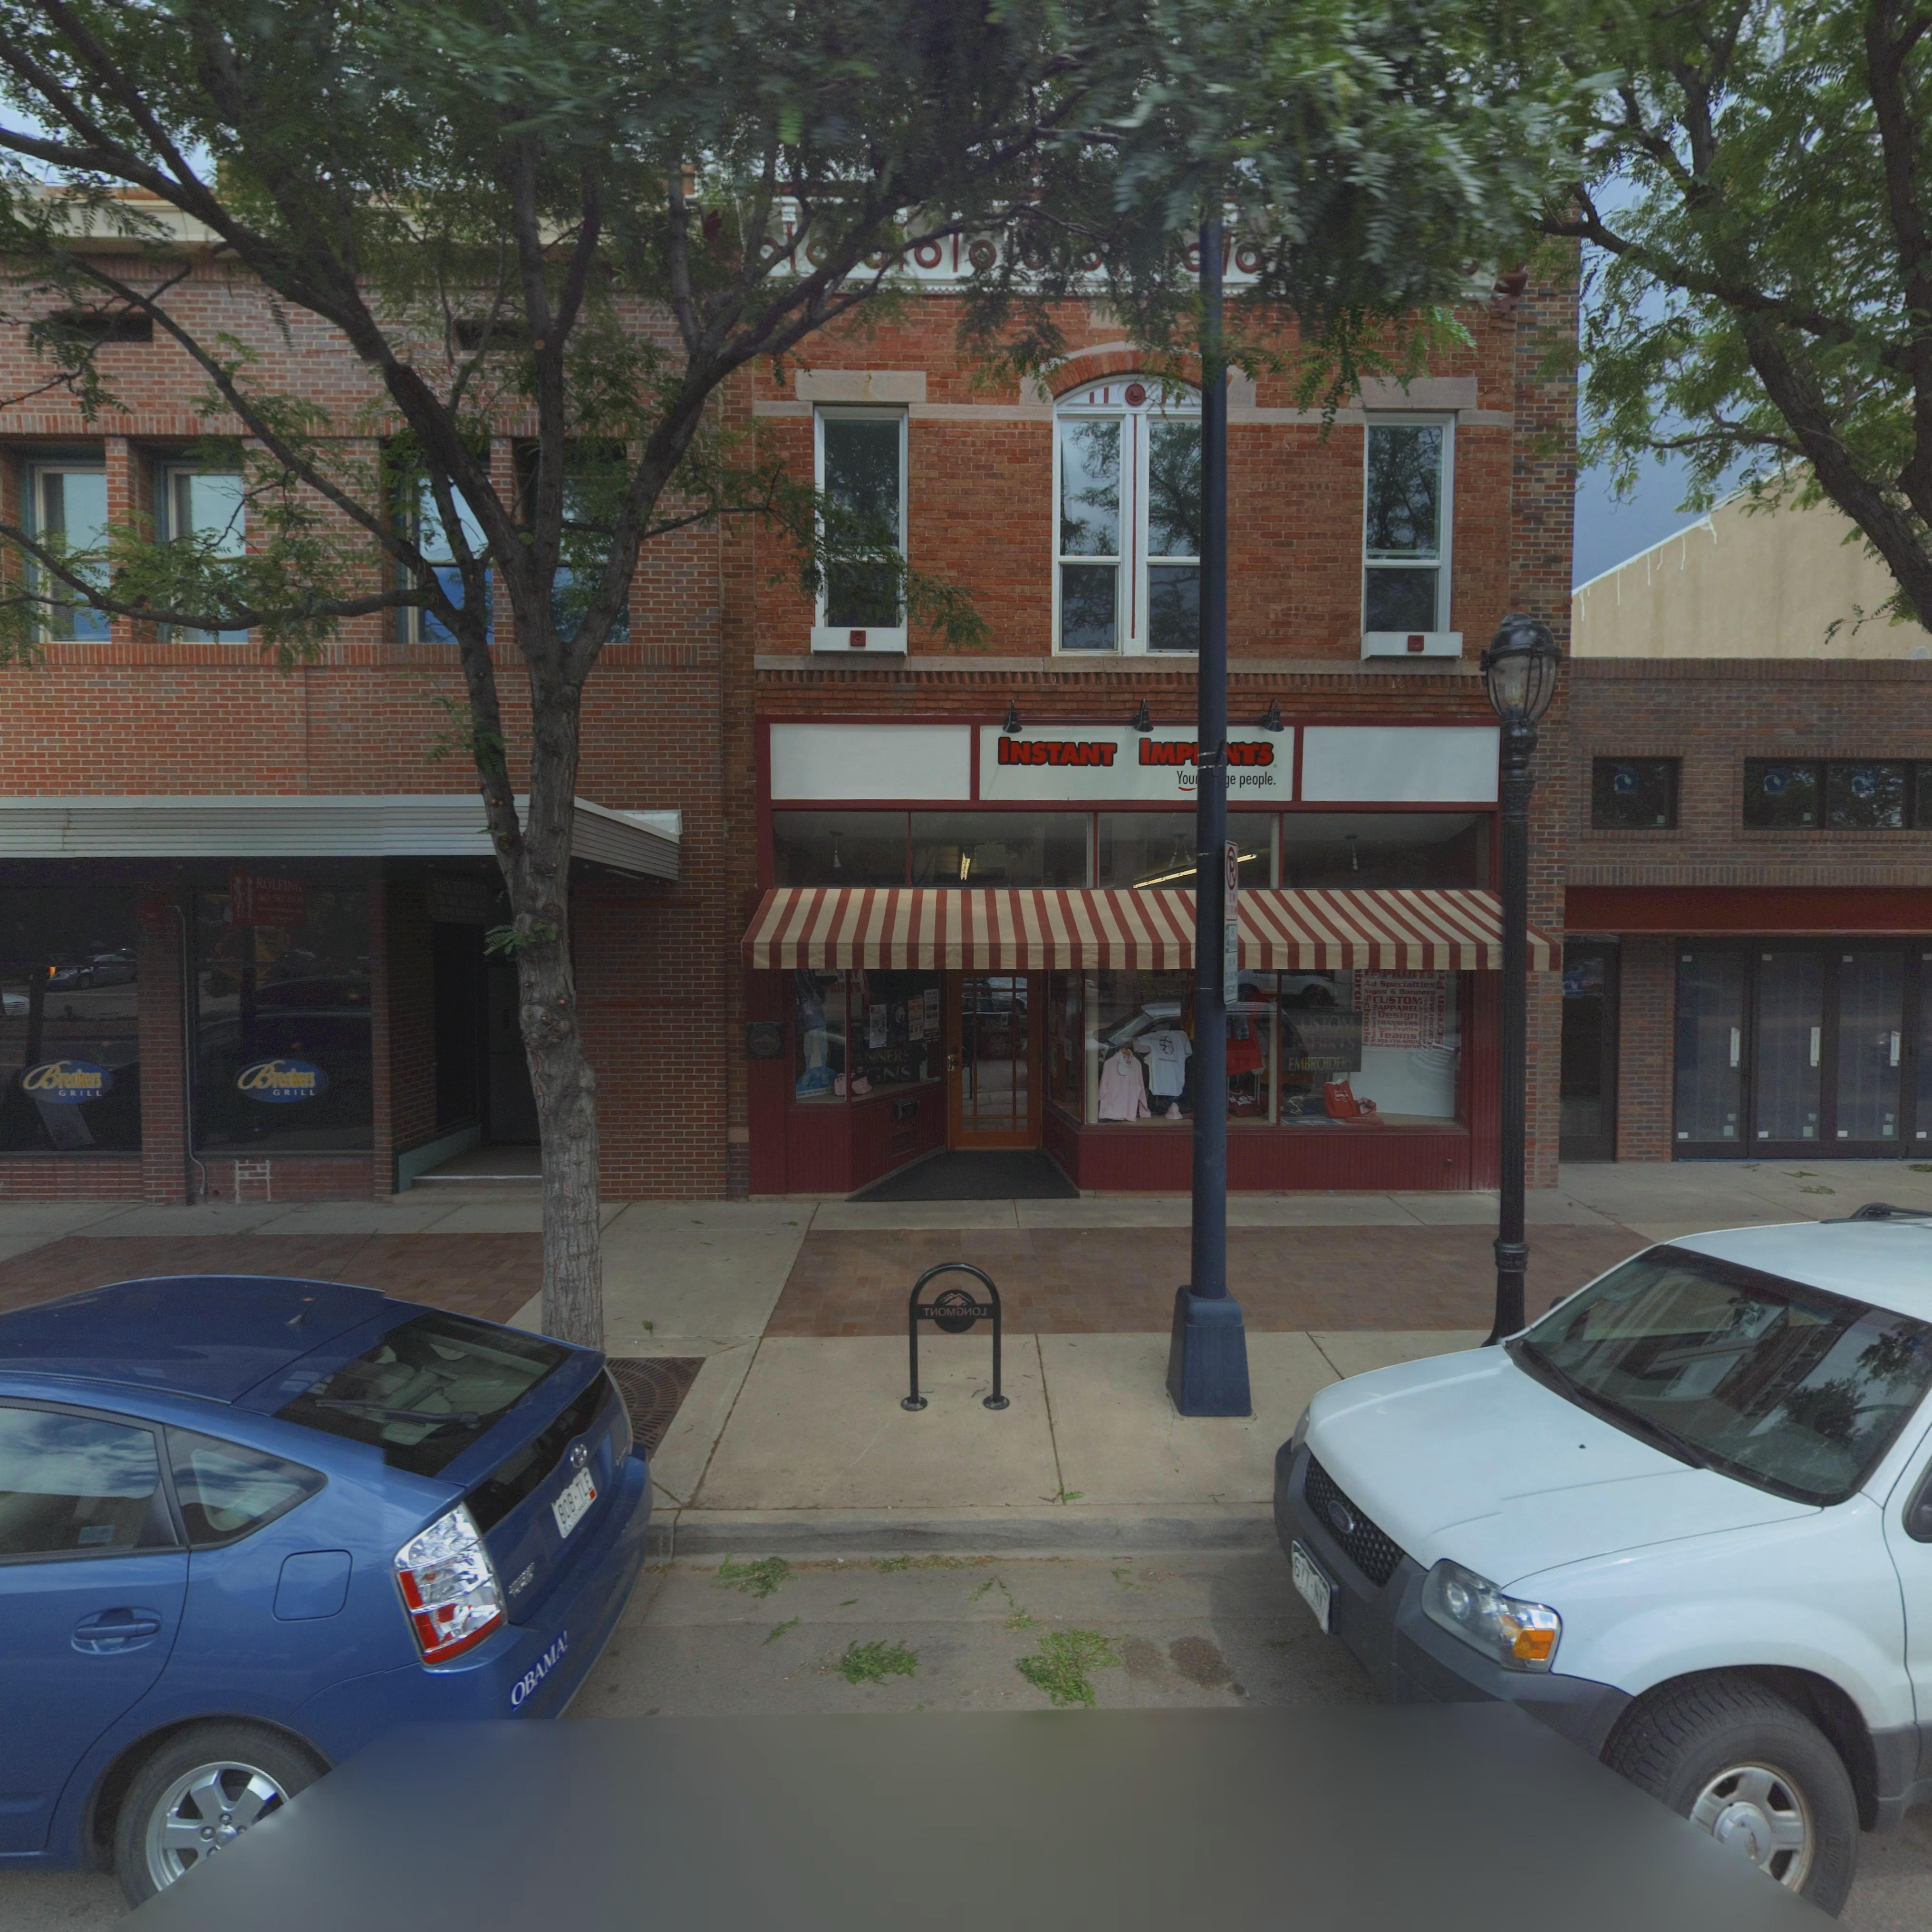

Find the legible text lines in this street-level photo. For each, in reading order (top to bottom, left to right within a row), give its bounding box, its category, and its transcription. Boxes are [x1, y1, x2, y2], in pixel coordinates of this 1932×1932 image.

[996, 736, 1275, 769] BusinessName: INSTANT IMP****S
[256, 876, 302, 893] BusinessName: ROLFING
[22, 1063, 102, 1091] BusinessName: Breakers
[237, 1063, 315, 1090] BusinessName: Breakers
[58, 1089, 103, 1096] BusinessName: GRILL
[272, 1088, 315, 1096] BusinessName: GRILL